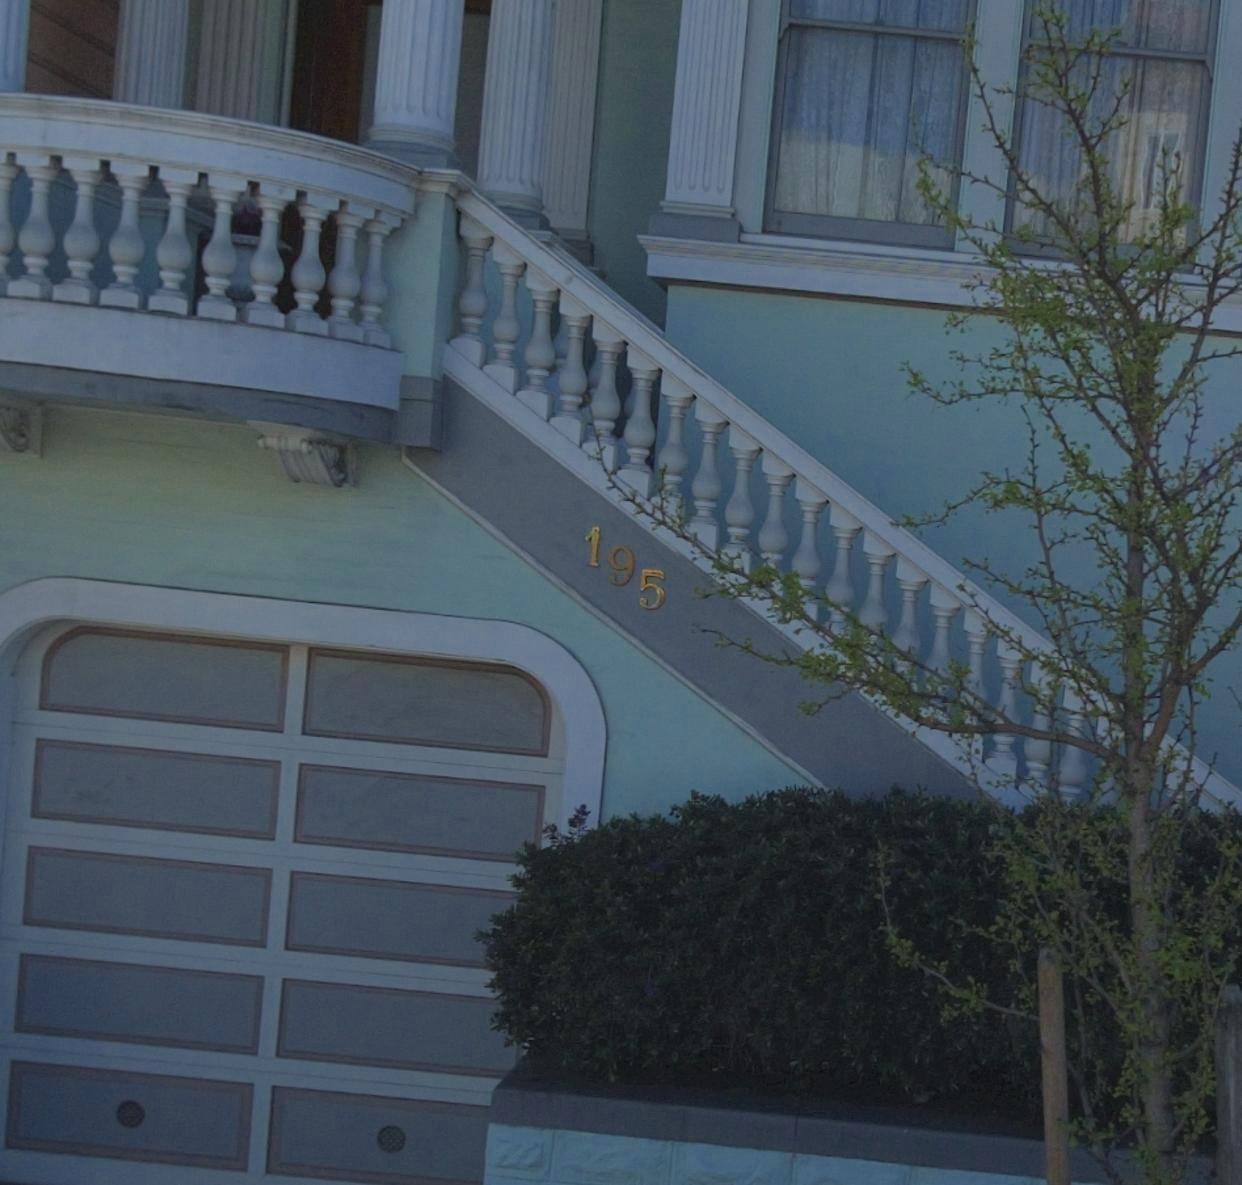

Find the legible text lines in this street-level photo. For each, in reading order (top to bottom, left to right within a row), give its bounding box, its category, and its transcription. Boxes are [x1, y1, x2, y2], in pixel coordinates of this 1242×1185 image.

[582, 524, 668, 612] StreetNumber: 195